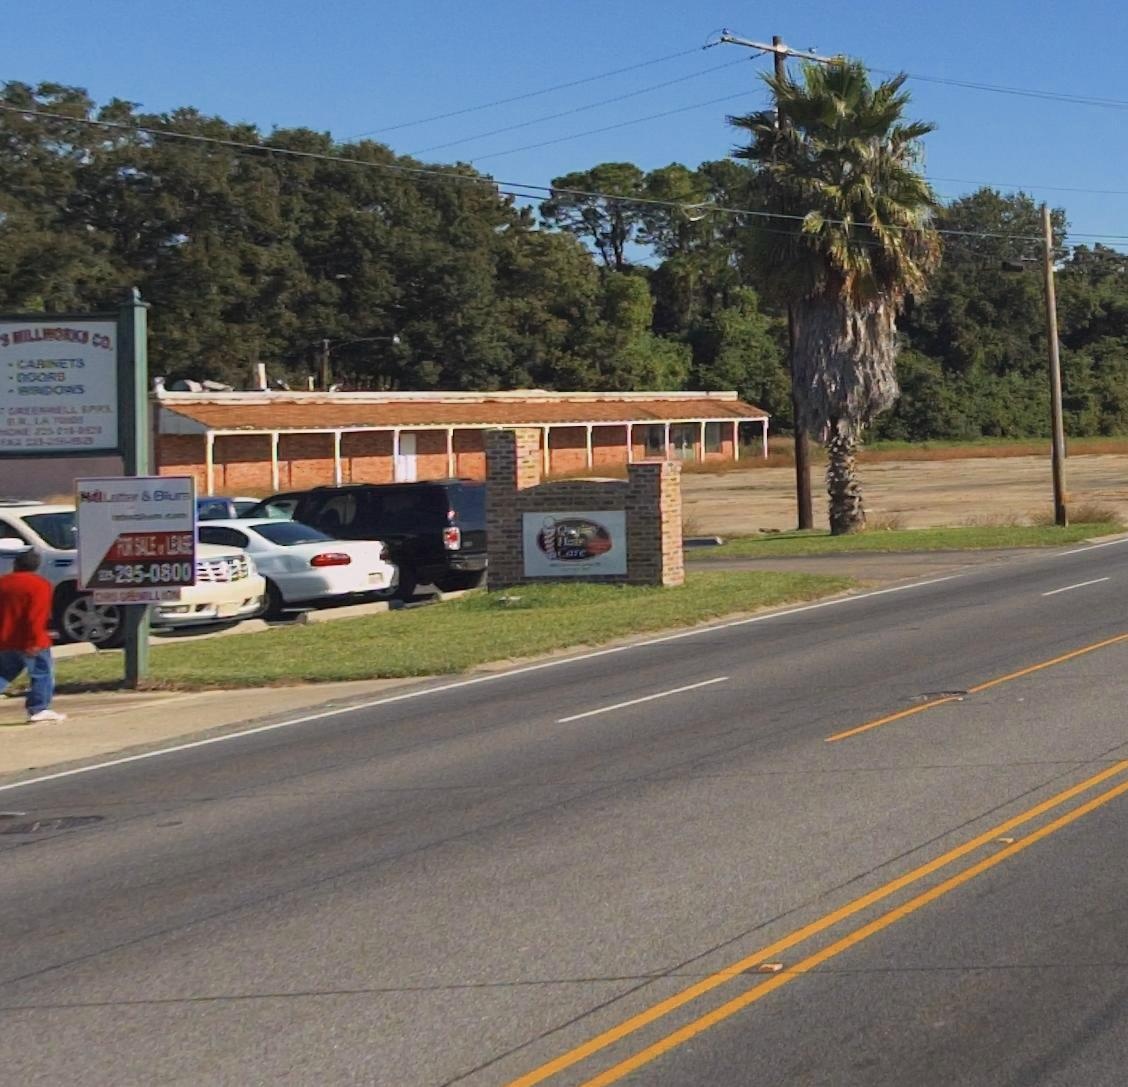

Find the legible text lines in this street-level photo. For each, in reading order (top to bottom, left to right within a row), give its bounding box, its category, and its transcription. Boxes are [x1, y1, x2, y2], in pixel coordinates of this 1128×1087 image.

[89, 329, 116, 354] BusinessName: CO.
[13, 355, 88, 372] None: CA***ETS
[13, 368, 69, 386] None: *OOR*
[555, 522, 570, 538] BusinessName: Q
[114, 531, 195, 561] None: FOR SALE ** LEASE
[555, 535, 570, 549] BusinessName: H
[555, 546, 589, 561] BusinessName: Care
[110, 559, 196, 586] None: 295 0800
[153, 588, 162, 603] None: L